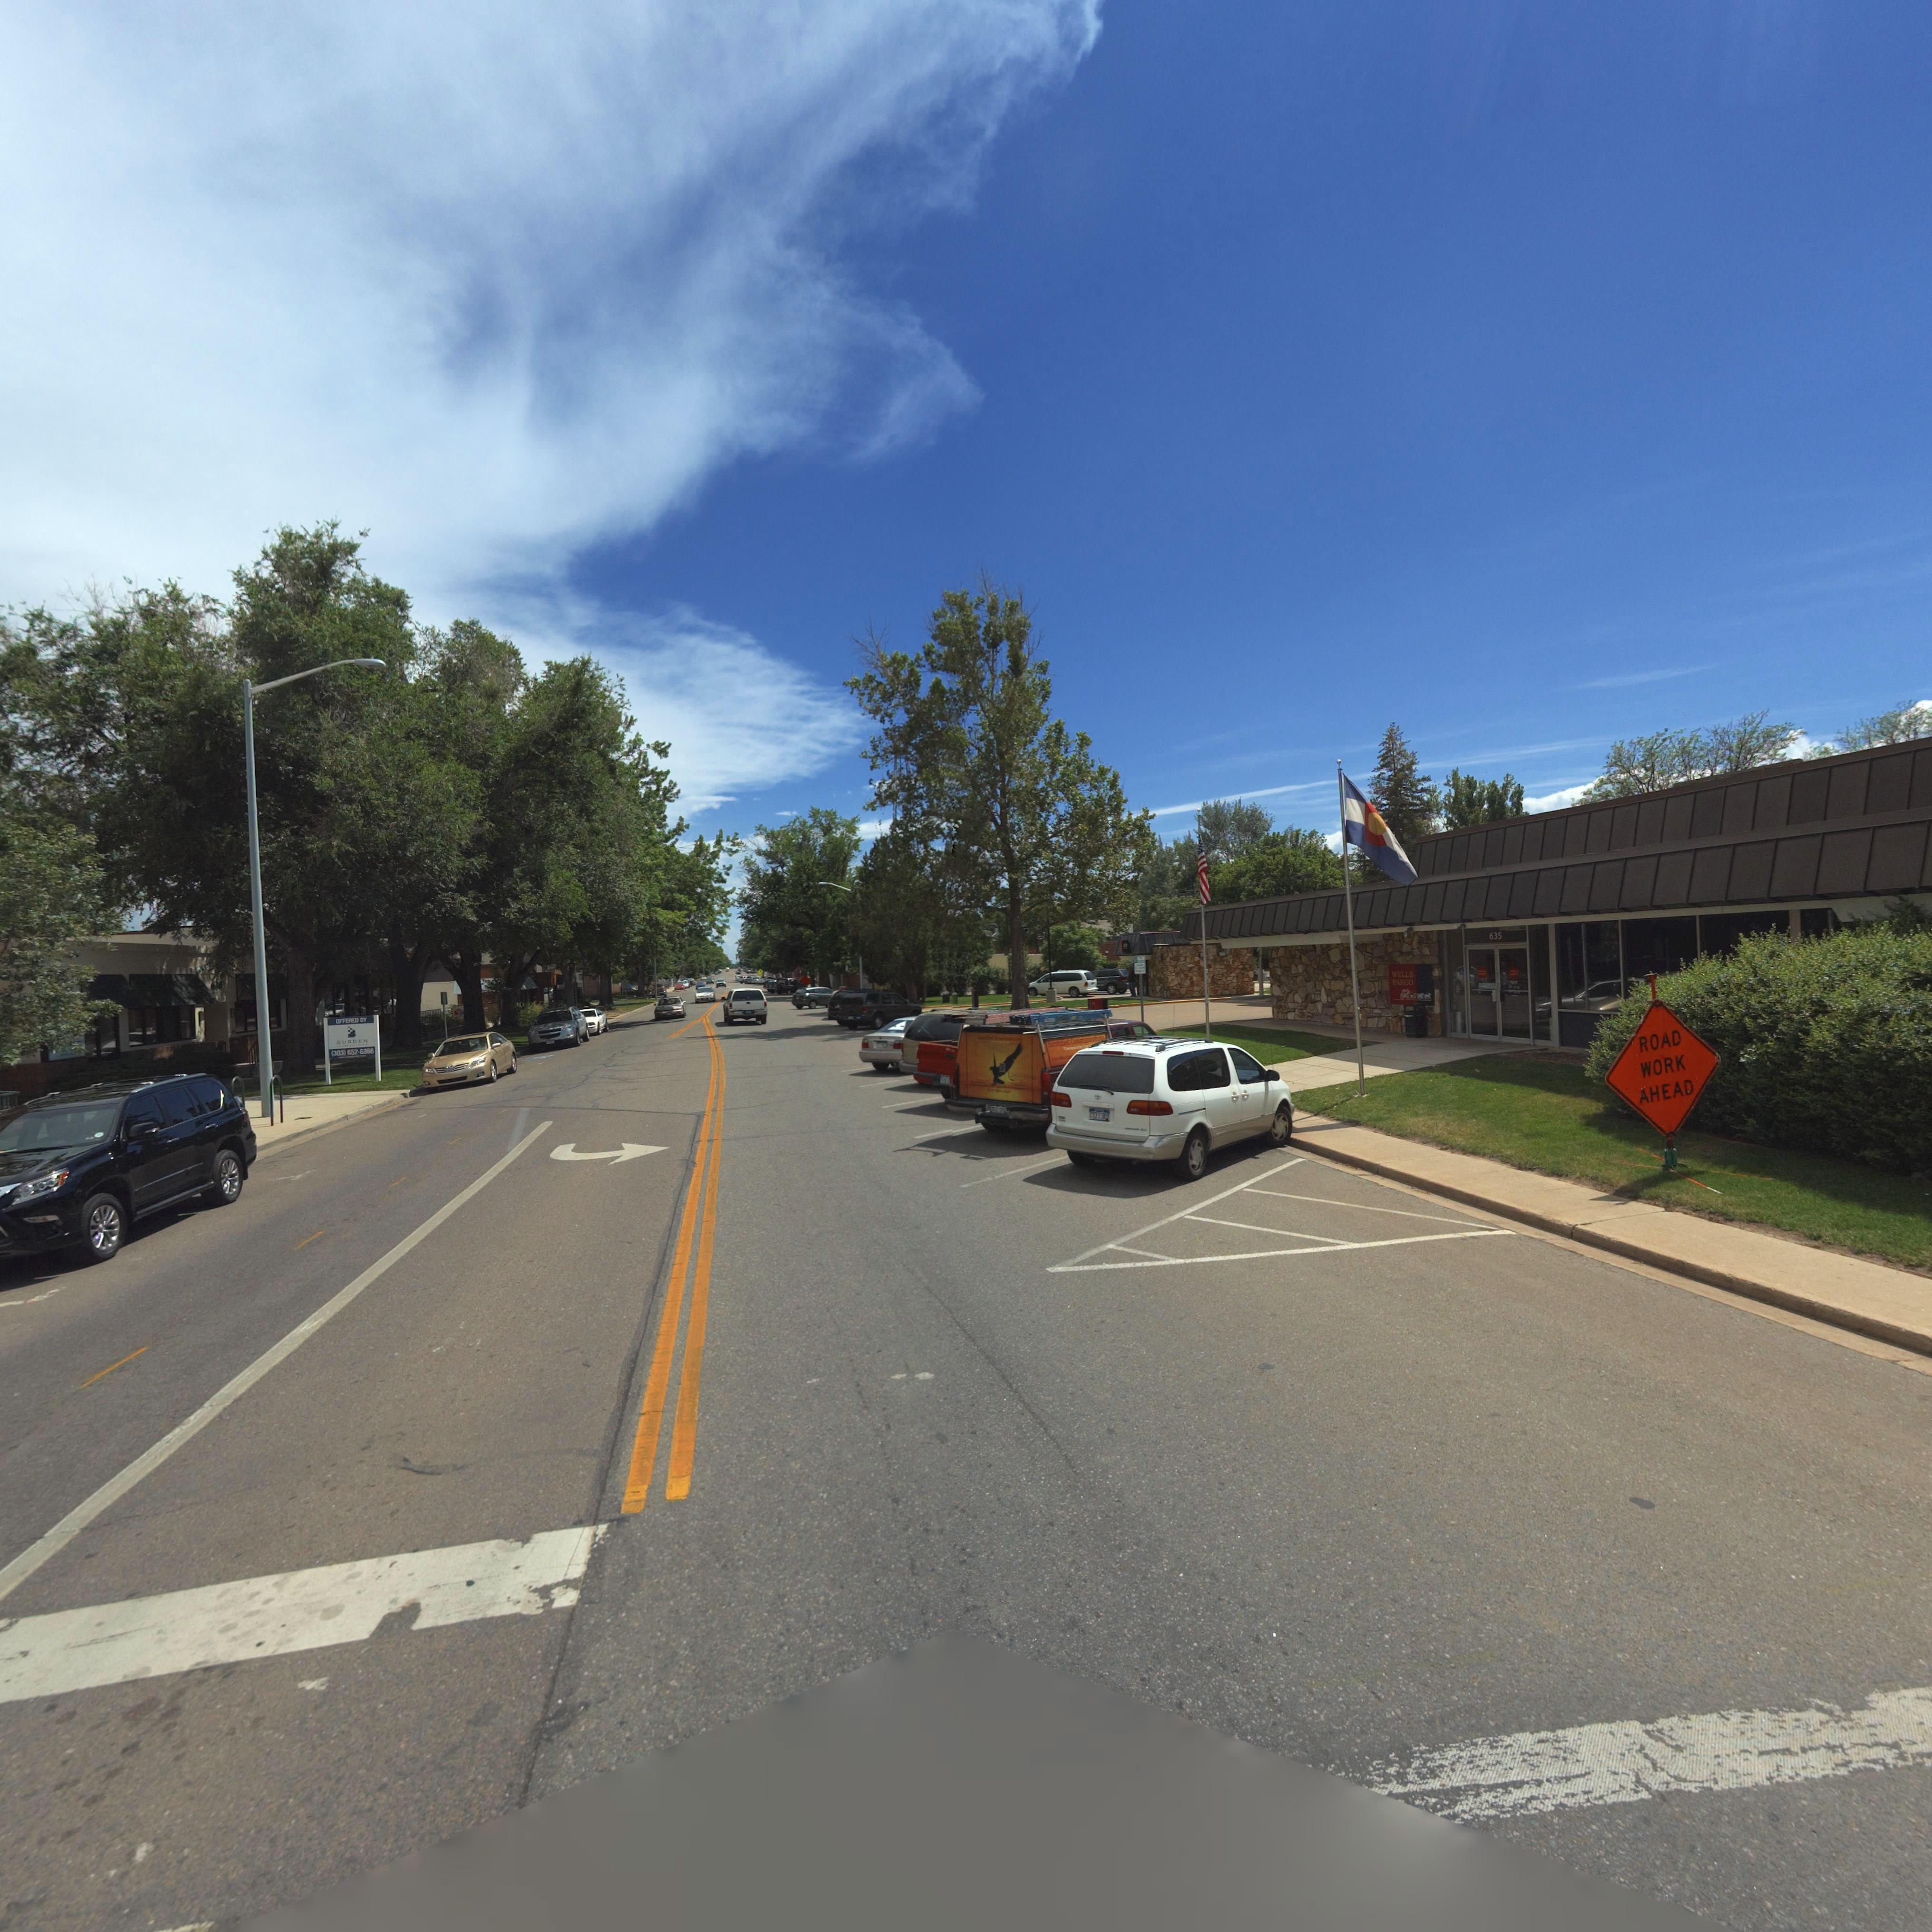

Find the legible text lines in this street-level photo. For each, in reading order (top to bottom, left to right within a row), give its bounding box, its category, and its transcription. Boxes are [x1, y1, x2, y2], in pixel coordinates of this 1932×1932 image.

[1488, 931, 1502, 939] StreetNumber: 635
[1391, 971, 1413, 977] BusinessName: WELLS
[1392, 979, 1413, 985] BusinessName: FARGO